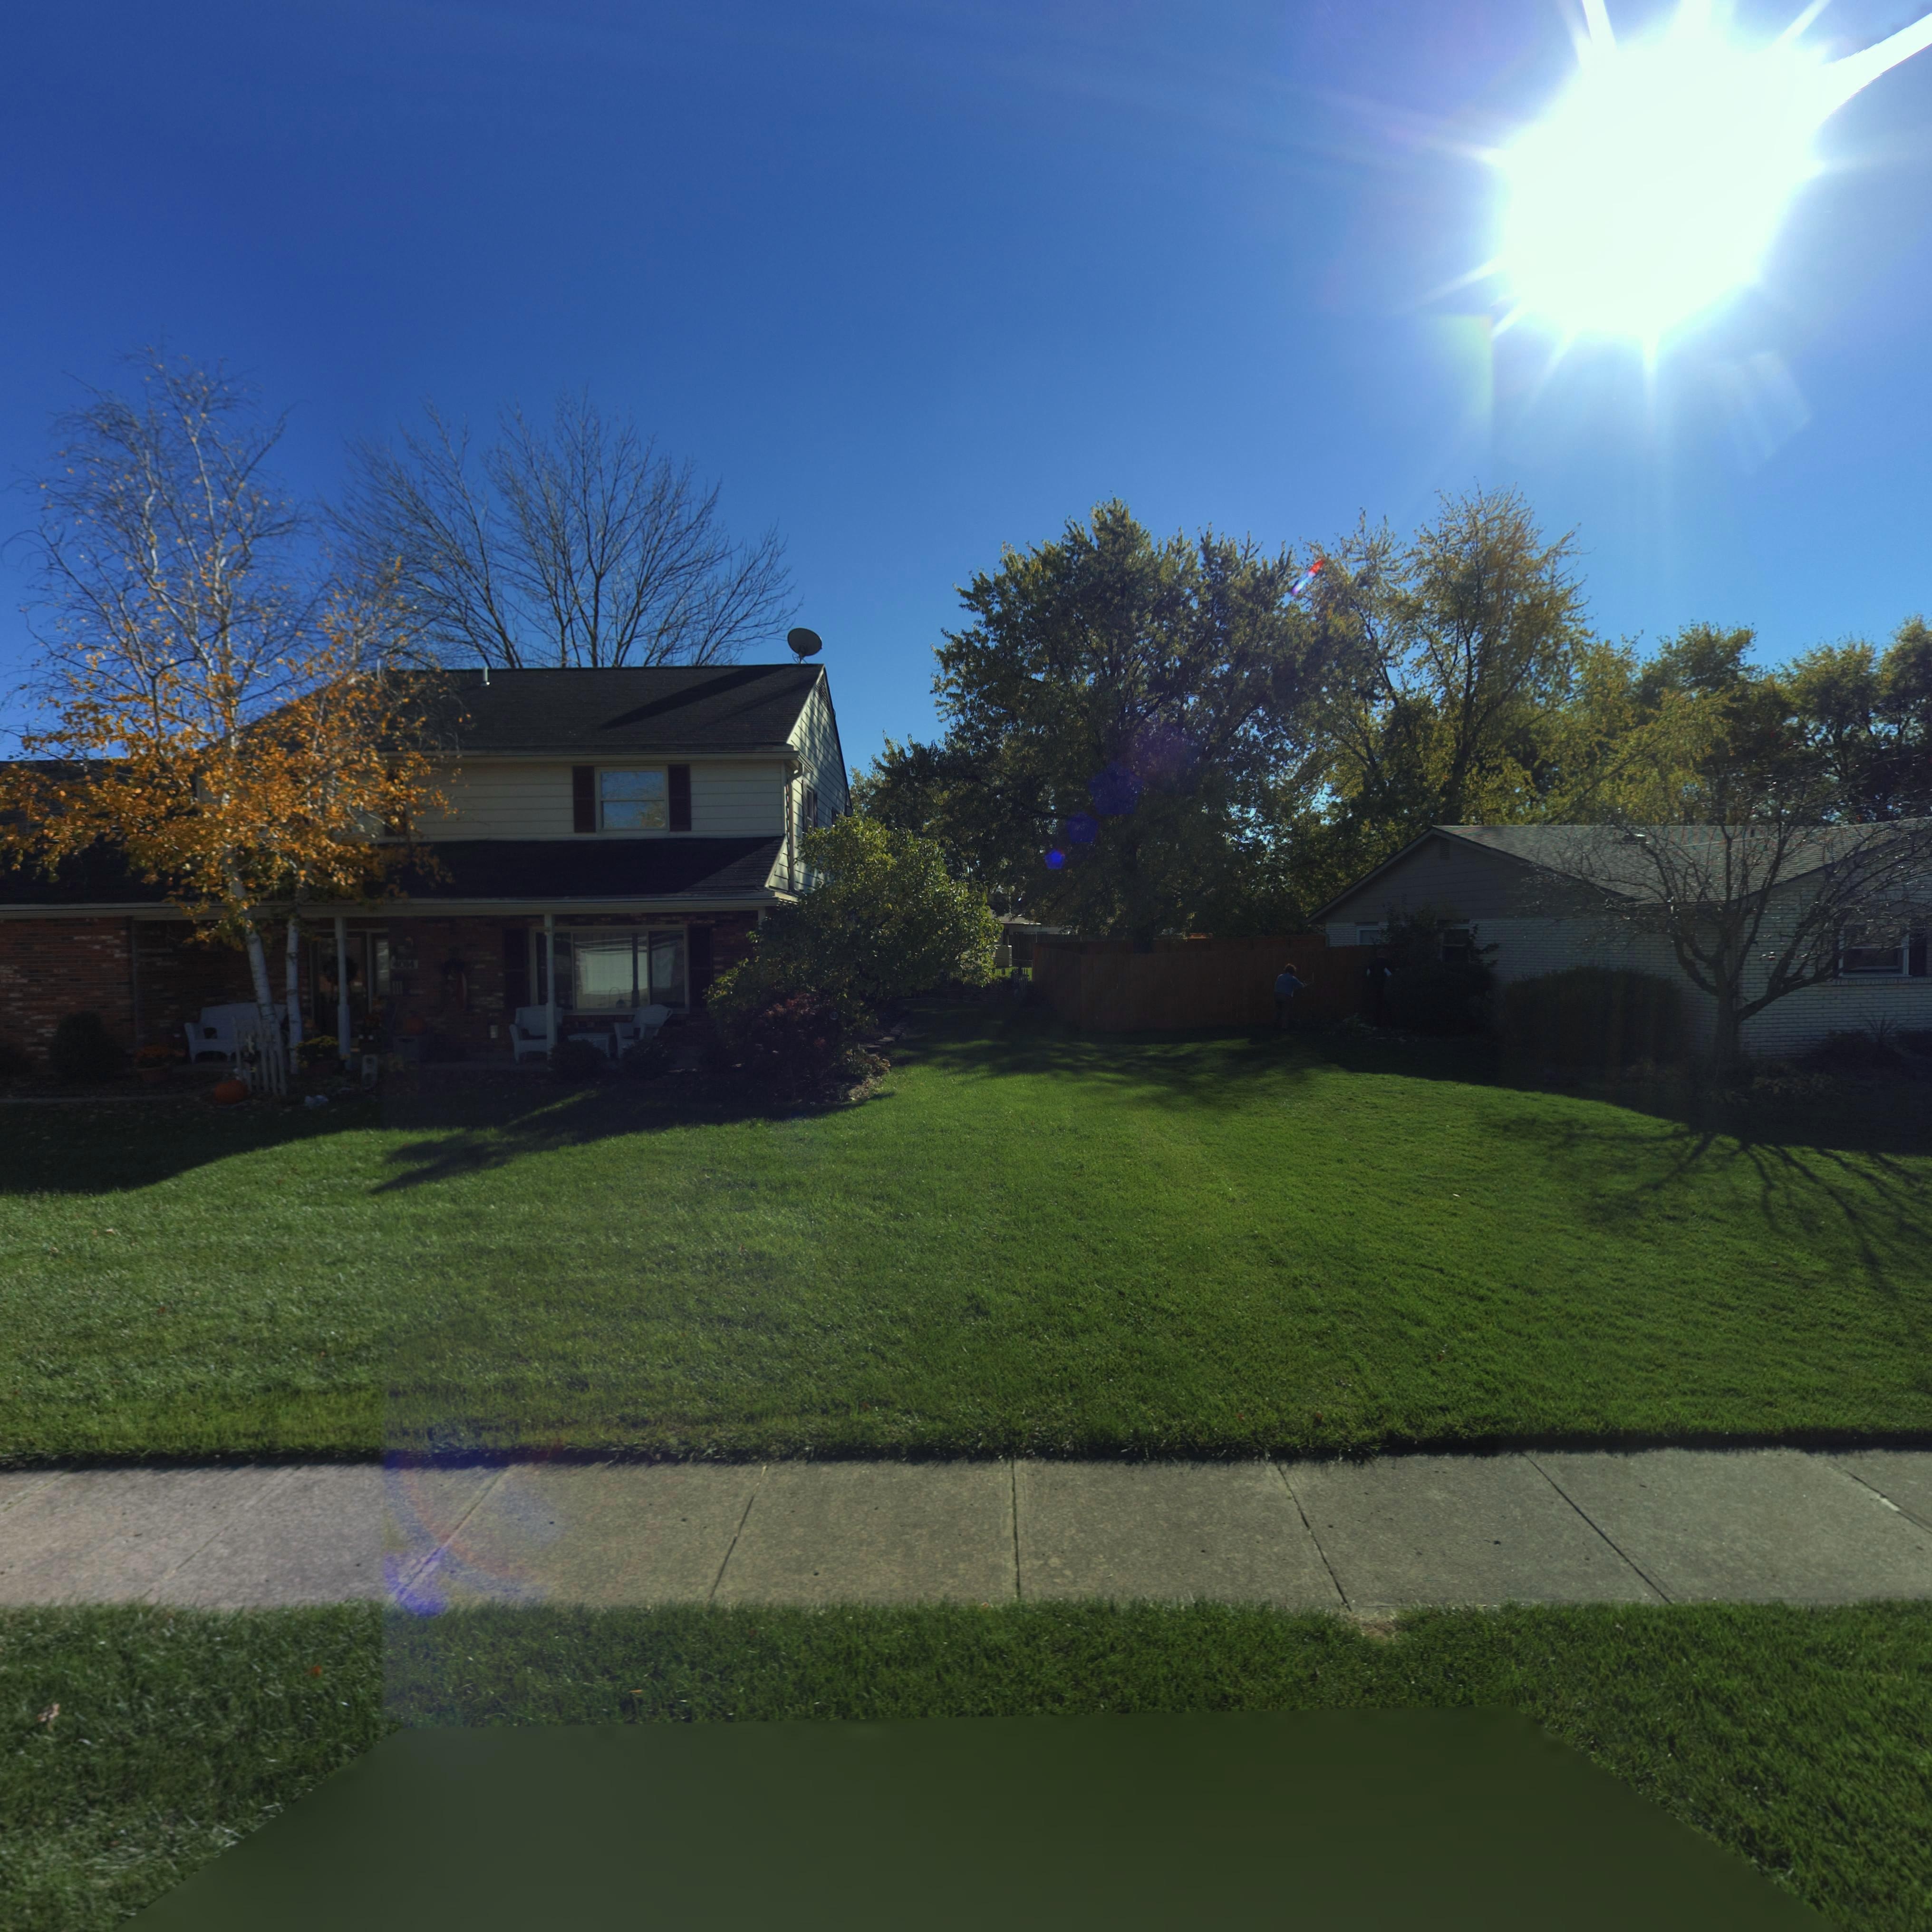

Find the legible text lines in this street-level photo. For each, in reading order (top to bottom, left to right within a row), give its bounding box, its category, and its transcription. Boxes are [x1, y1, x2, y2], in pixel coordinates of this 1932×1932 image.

[392, 959, 415, 969] StreetNumber: 4014